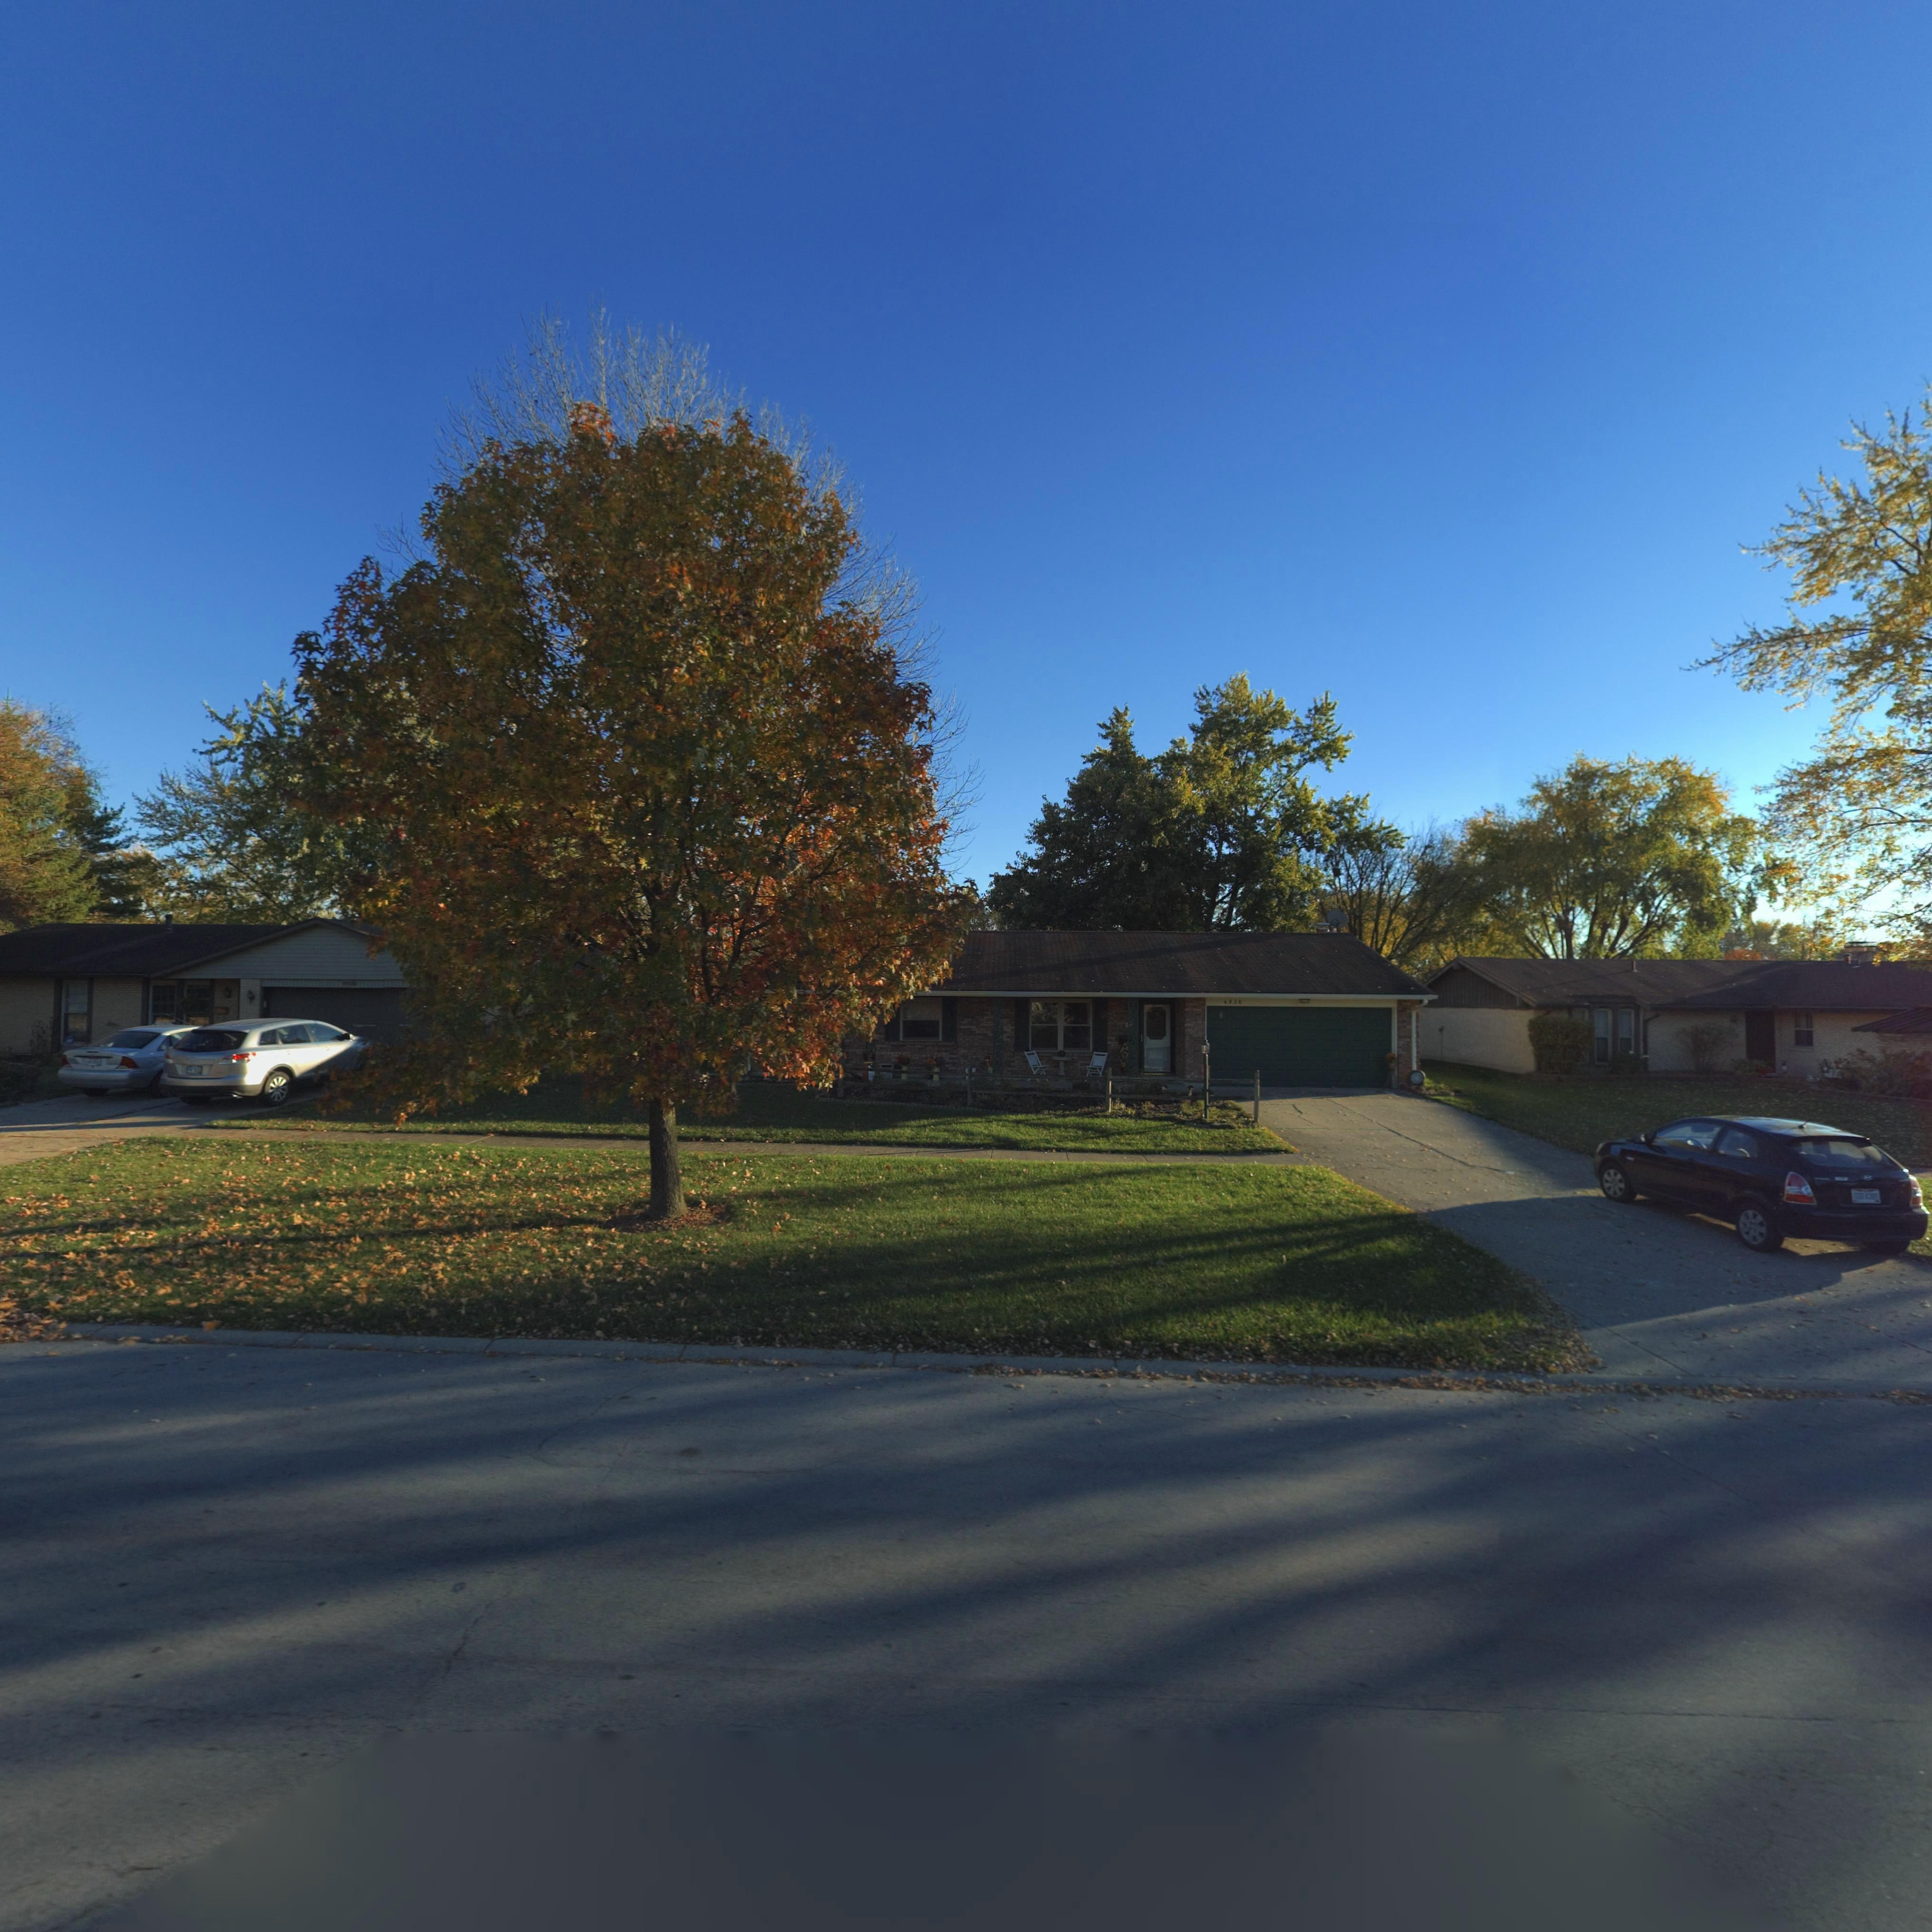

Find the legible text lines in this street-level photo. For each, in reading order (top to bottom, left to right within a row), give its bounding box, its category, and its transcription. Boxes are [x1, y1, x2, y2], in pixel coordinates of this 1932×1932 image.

[341, 980, 358, 986] StreetNumber: 4**8
[1223, 998, 1242, 1005] StreetNumber: 4936